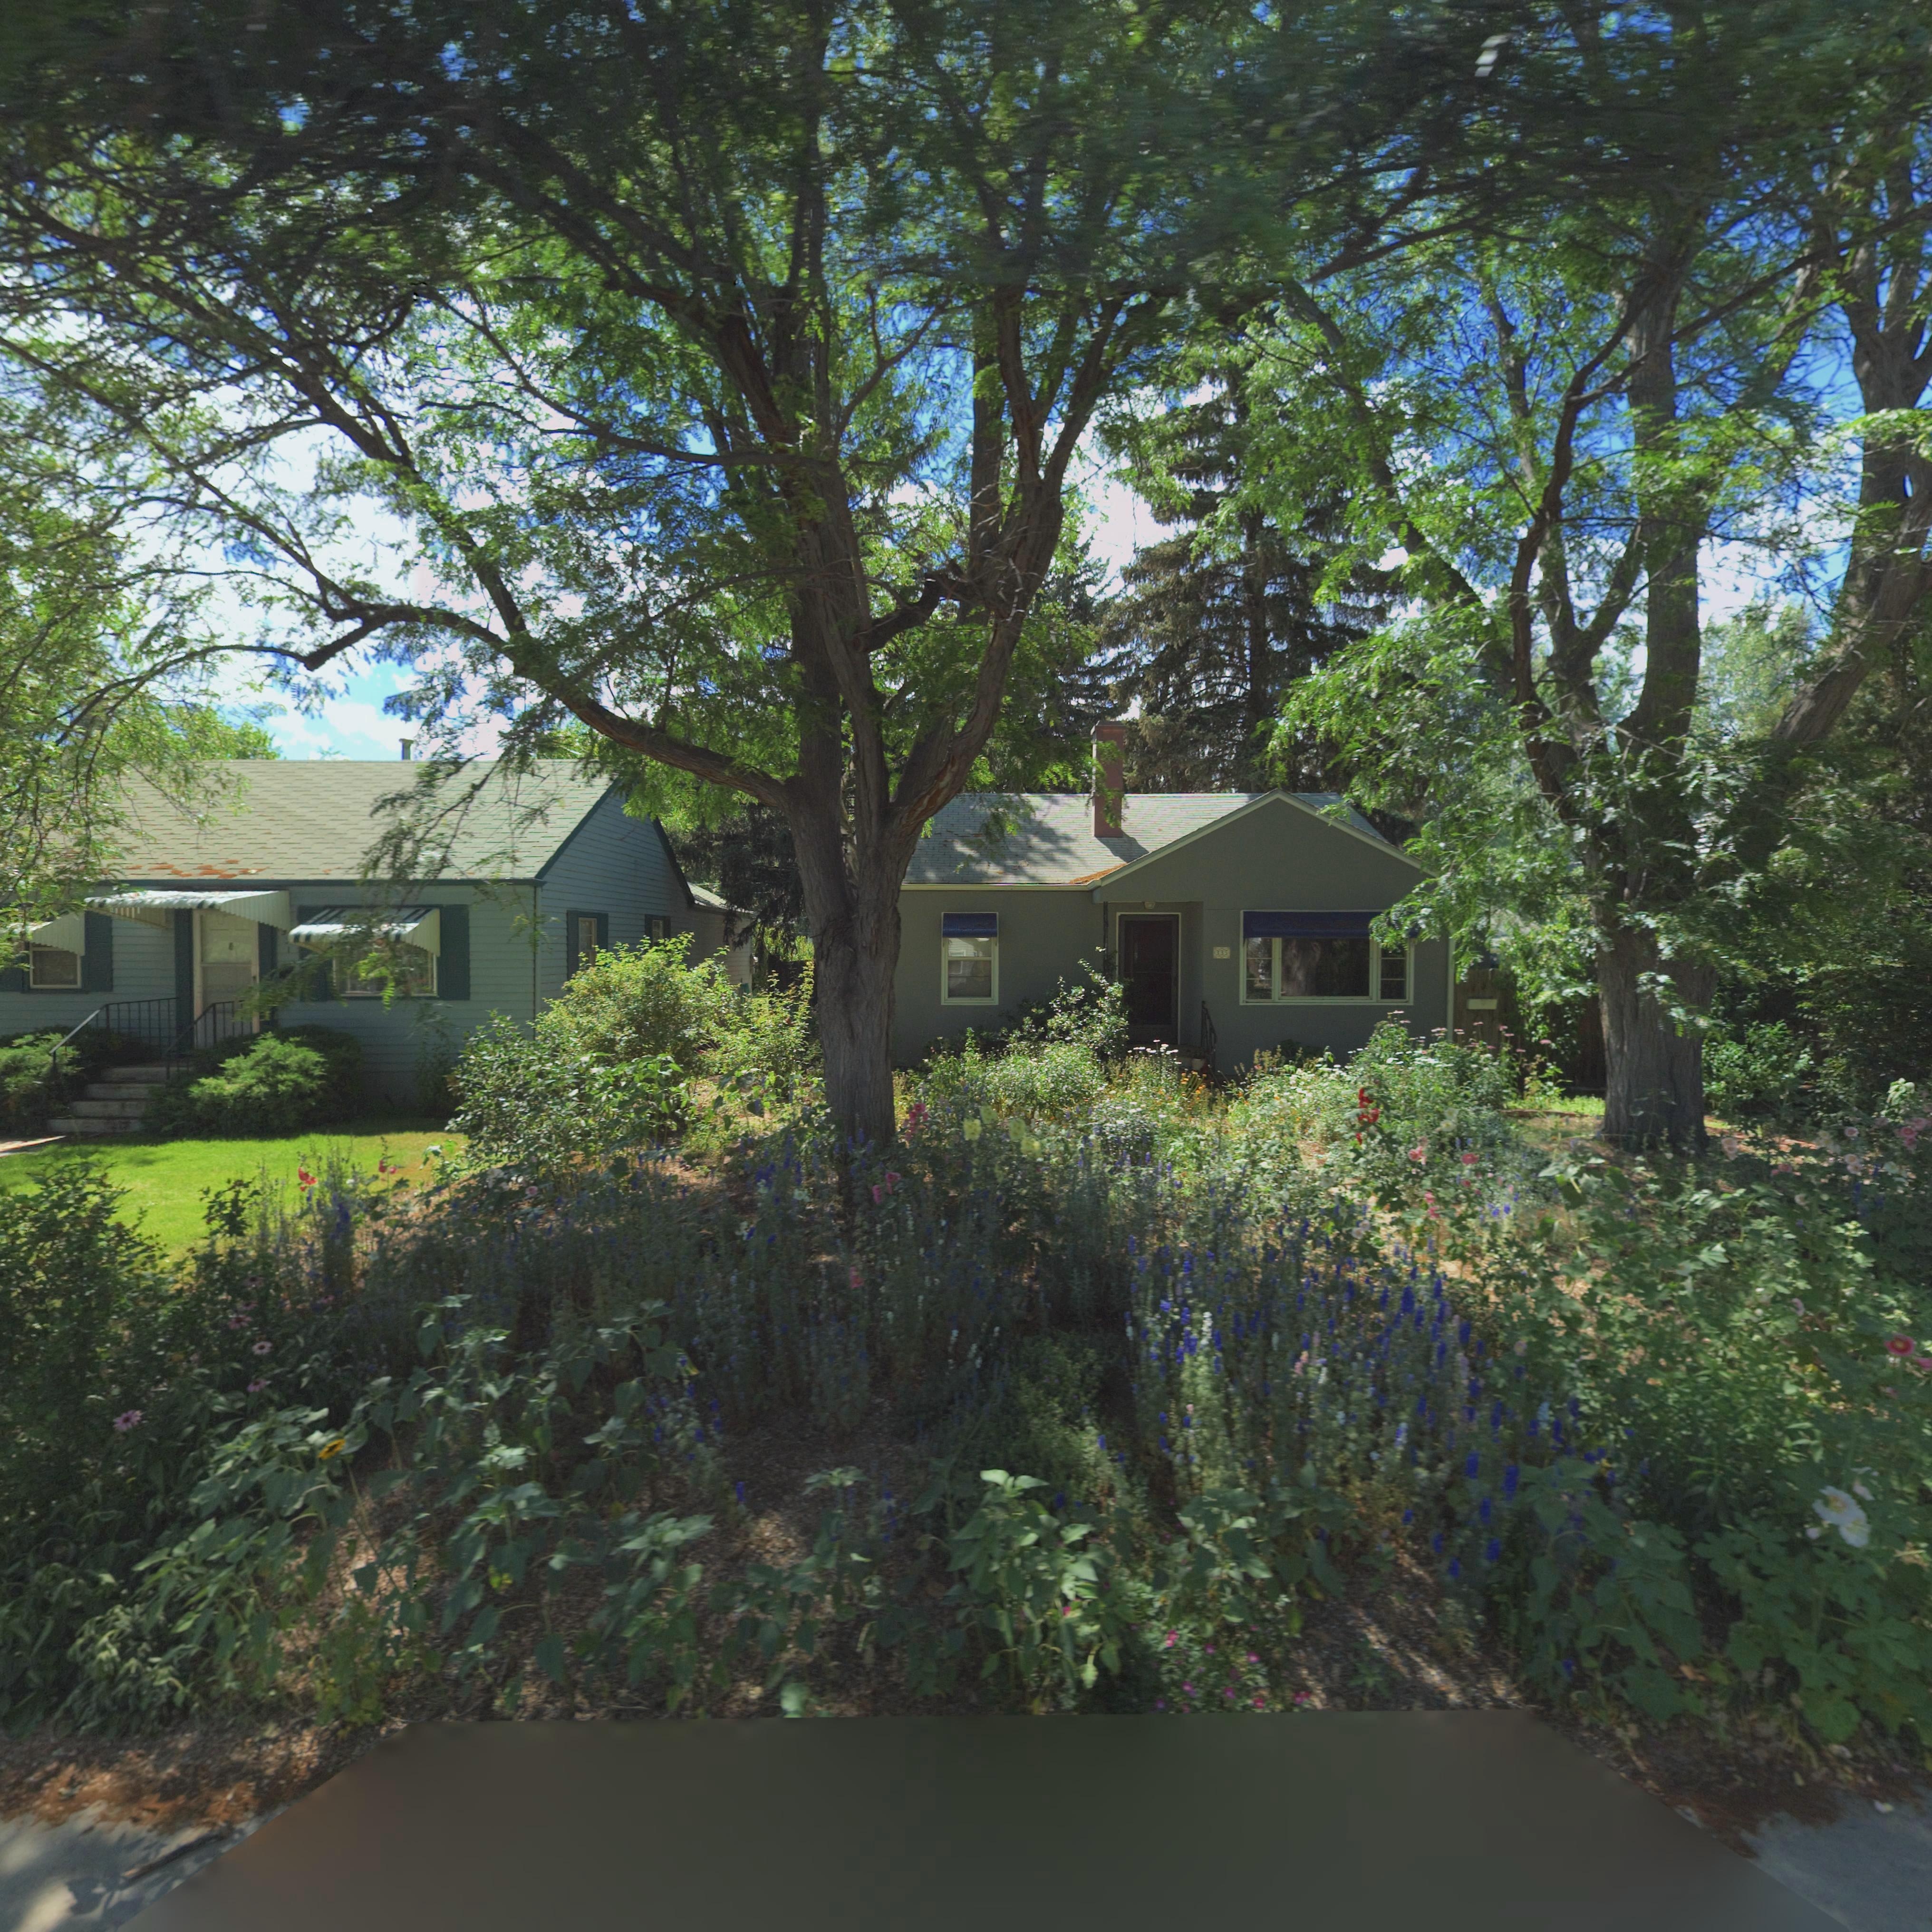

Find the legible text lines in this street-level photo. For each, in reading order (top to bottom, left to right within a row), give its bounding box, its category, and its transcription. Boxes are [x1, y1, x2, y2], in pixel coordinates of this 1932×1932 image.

[281, 929, 290, 954] StreetNumber: **1
[1215, 949, 1228, 956] StreetNumber: 335